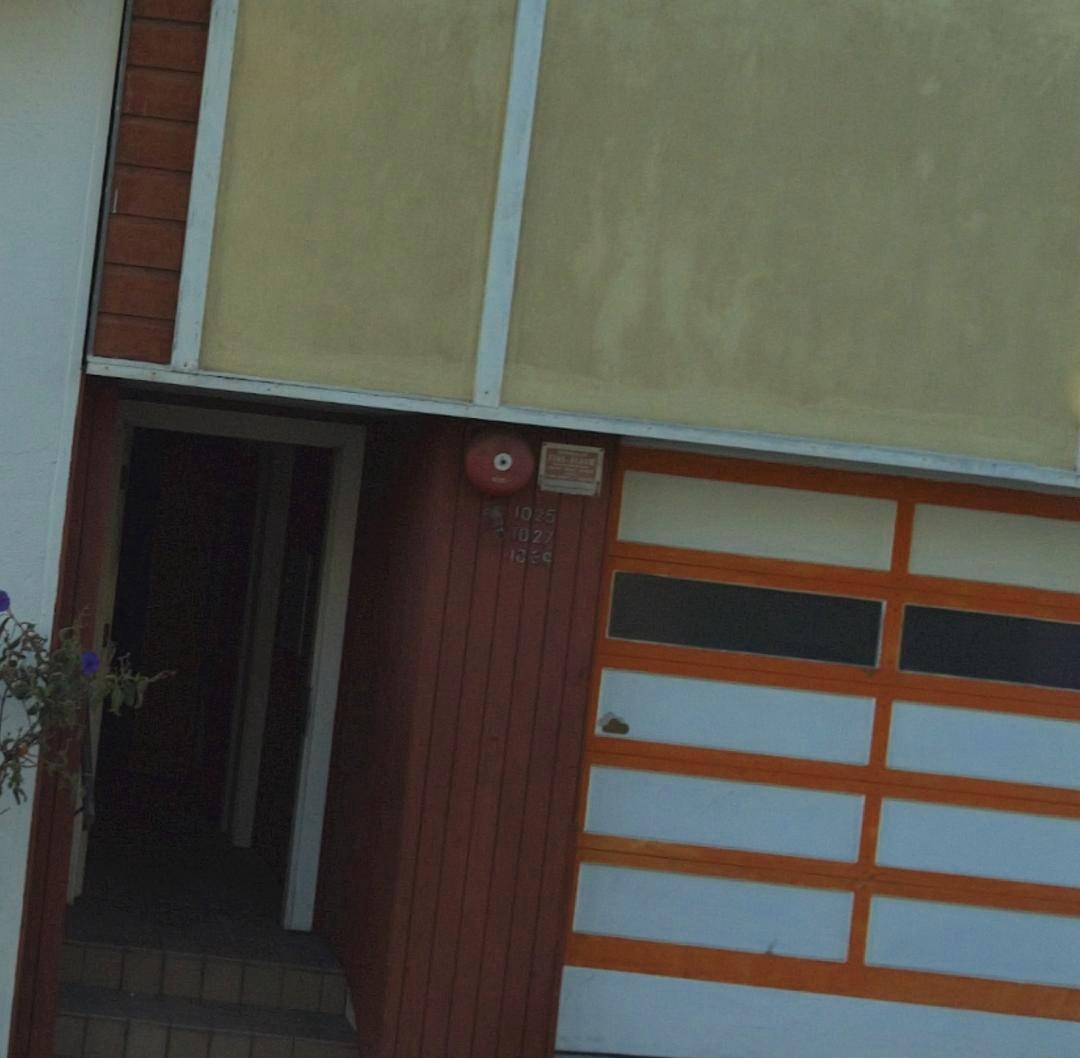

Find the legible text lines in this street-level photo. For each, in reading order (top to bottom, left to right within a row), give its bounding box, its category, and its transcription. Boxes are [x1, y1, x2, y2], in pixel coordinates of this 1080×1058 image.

[547, 452, 597, 467] None: FIRE ALARM
[511, 502, 559, 525] StreetNumber: 1025
[509, 522, 557, 549] StreetNumber: 1027
[507, 543, 555, 569] StreetNumber: 103*